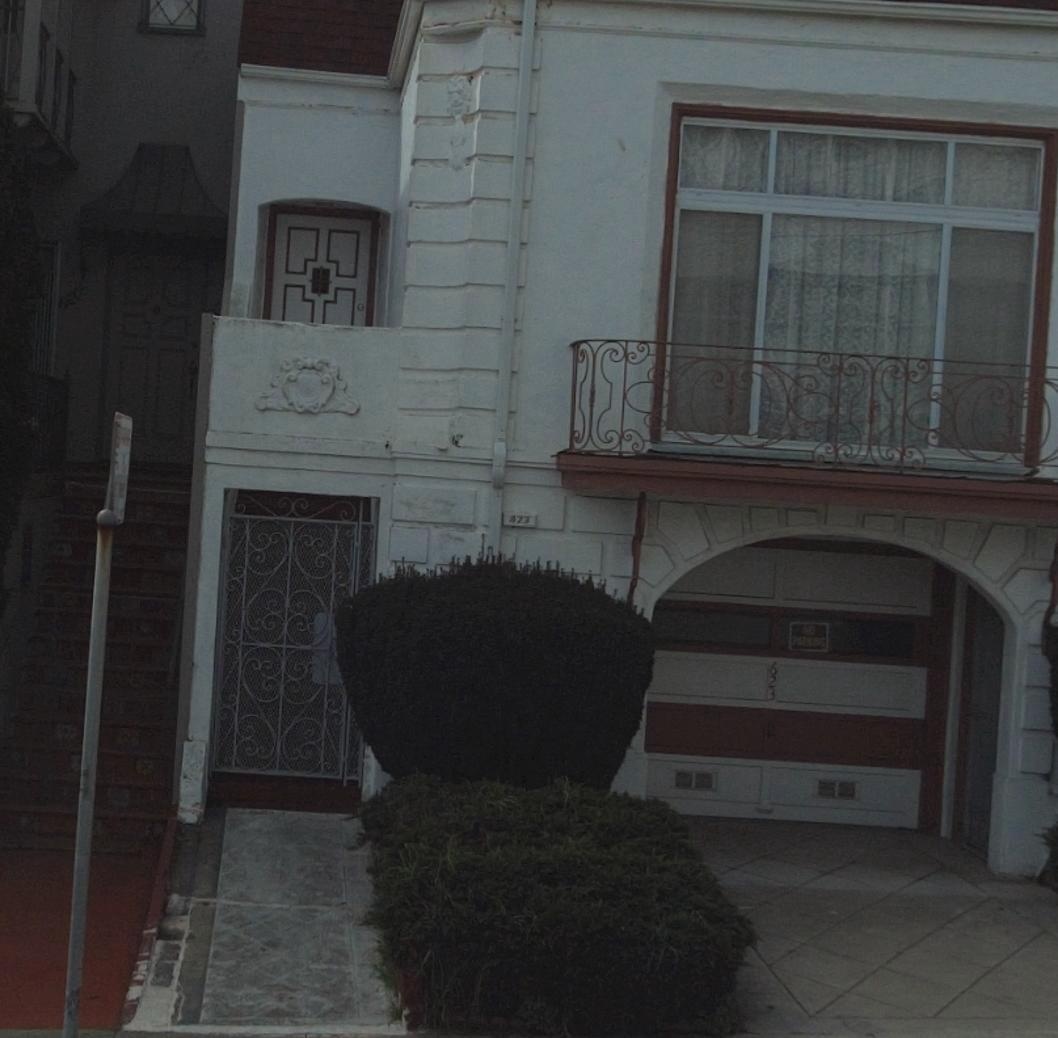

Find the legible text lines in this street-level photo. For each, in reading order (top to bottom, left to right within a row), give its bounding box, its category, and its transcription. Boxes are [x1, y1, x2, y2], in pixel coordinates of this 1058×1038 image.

[509, 515, 531, 525] StreetNumber: 423
[801, 623, 818, 637] None: NO
[768, 660, 778, 702] StreetNumber: 623